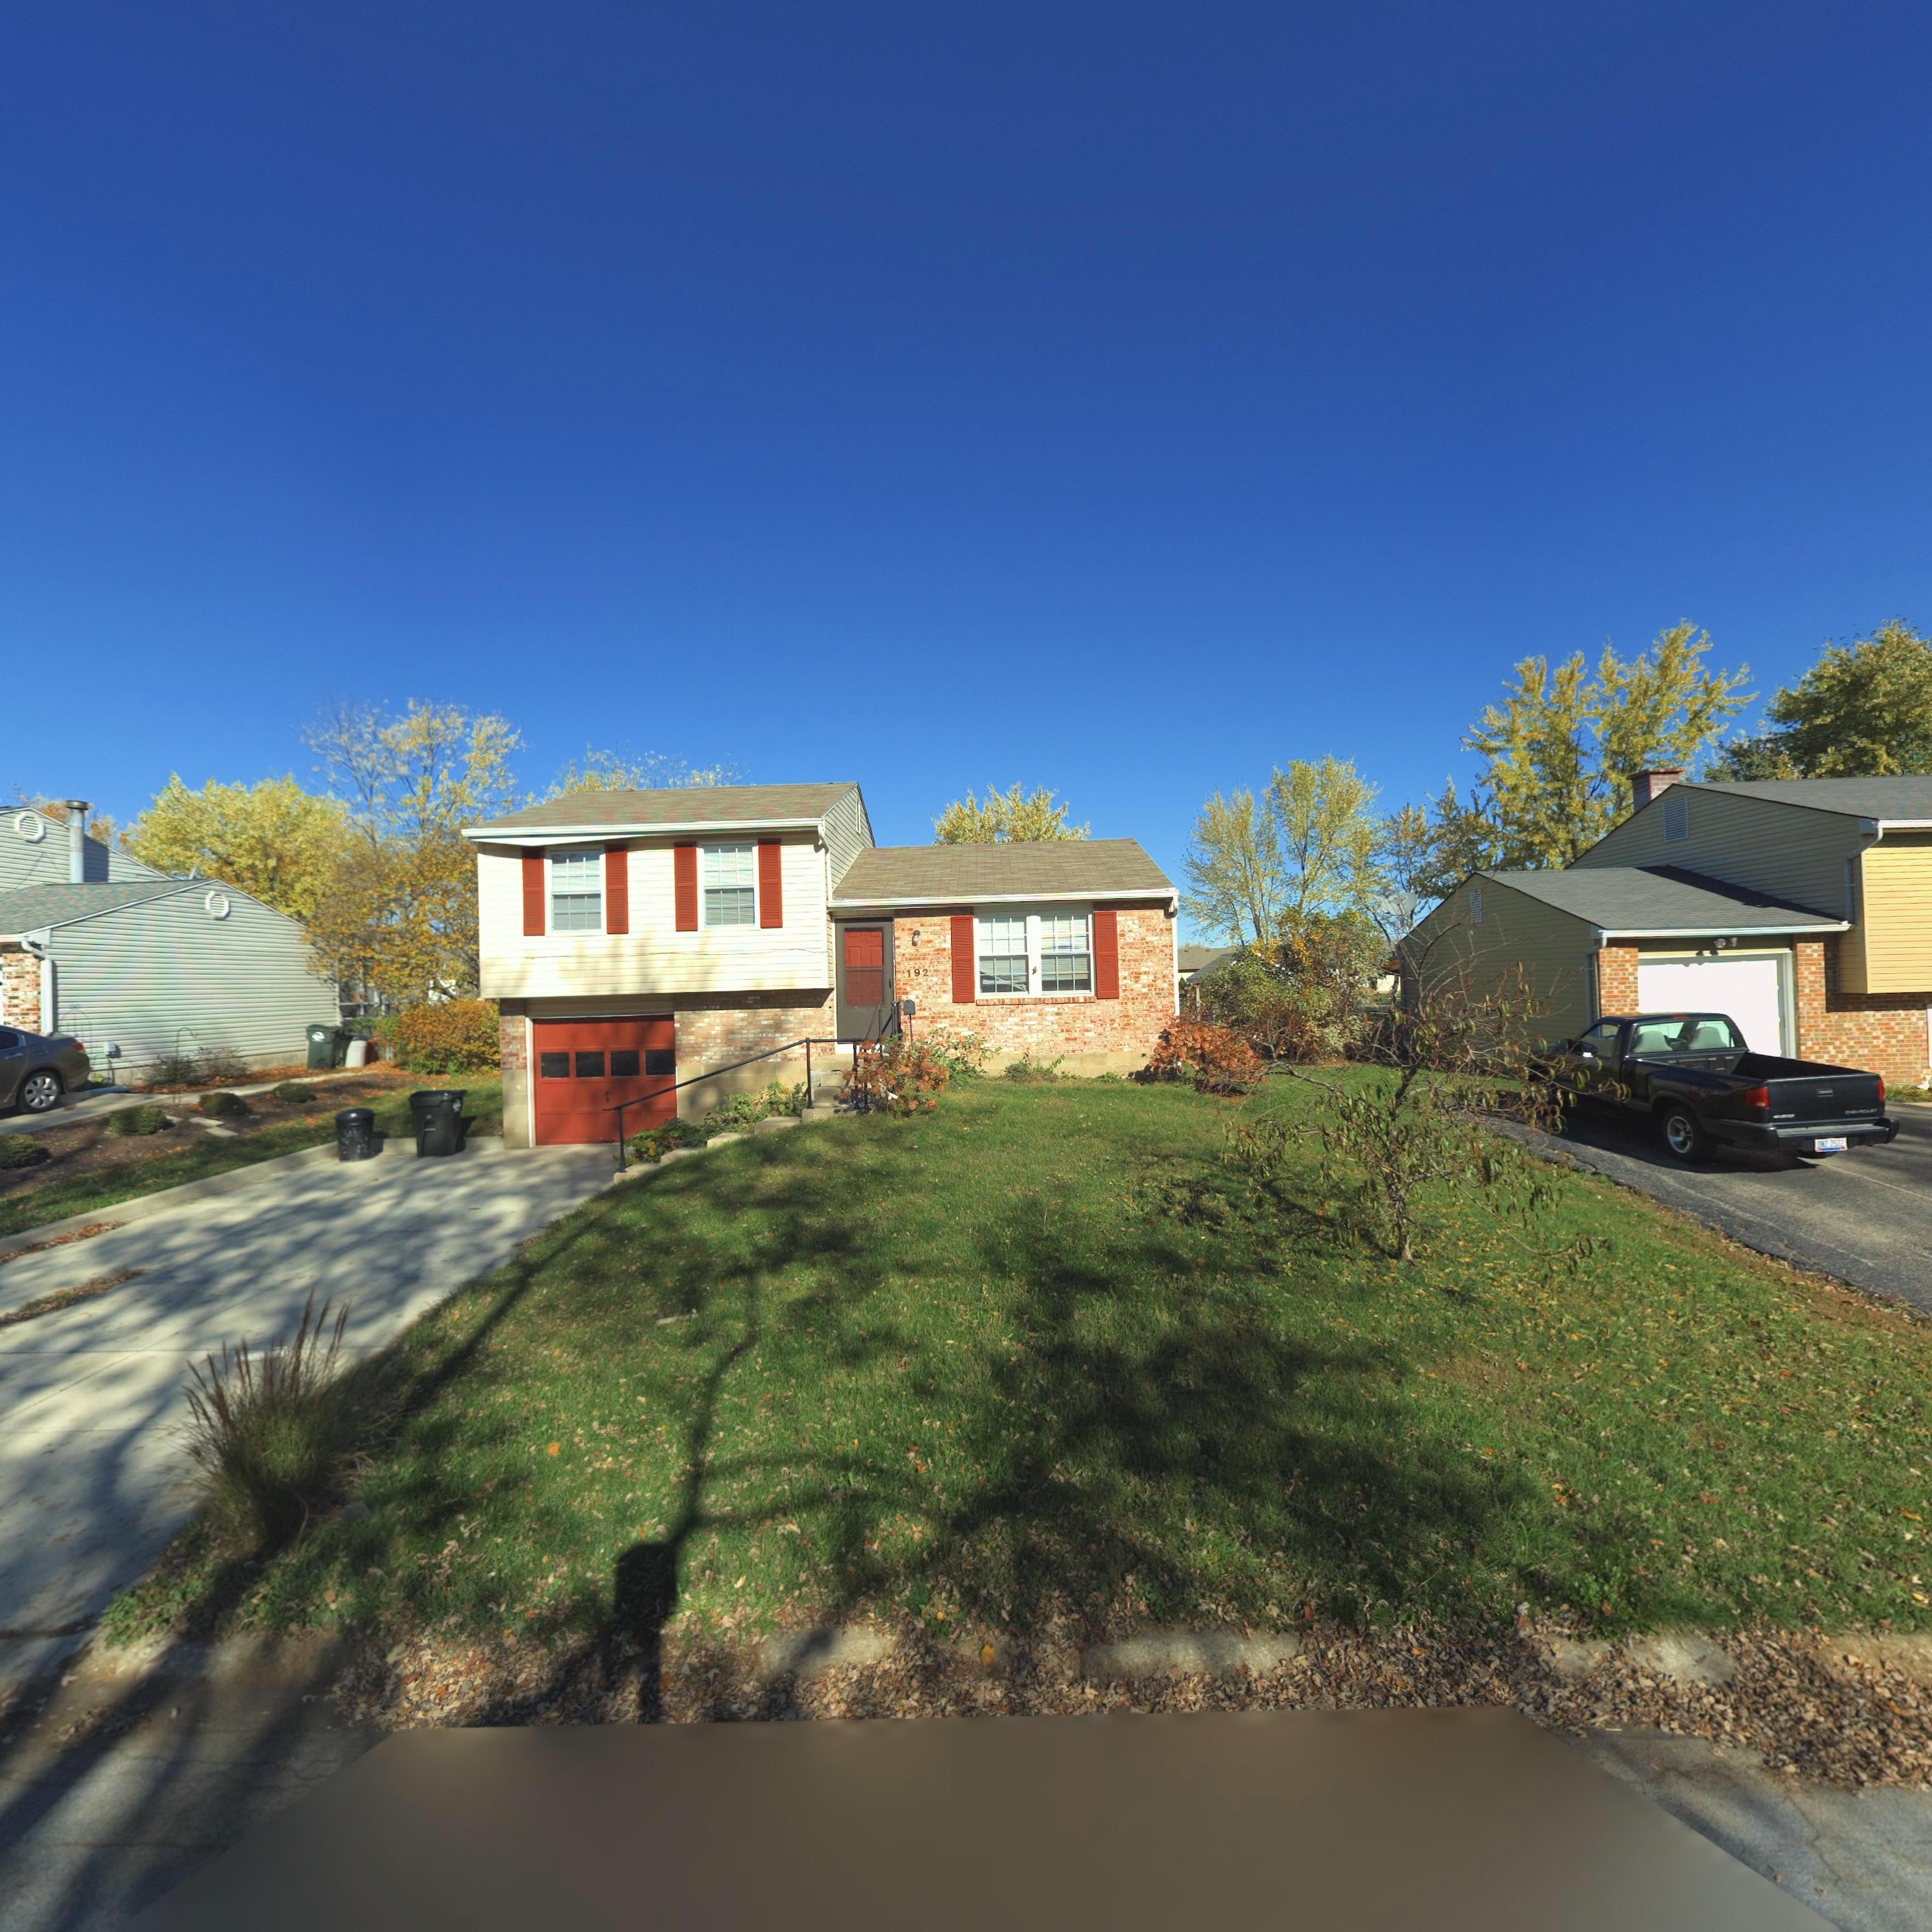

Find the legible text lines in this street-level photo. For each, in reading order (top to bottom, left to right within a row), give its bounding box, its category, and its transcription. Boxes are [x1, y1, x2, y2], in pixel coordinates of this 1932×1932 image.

[906, 967, 930, 978] StreetNumber: 192